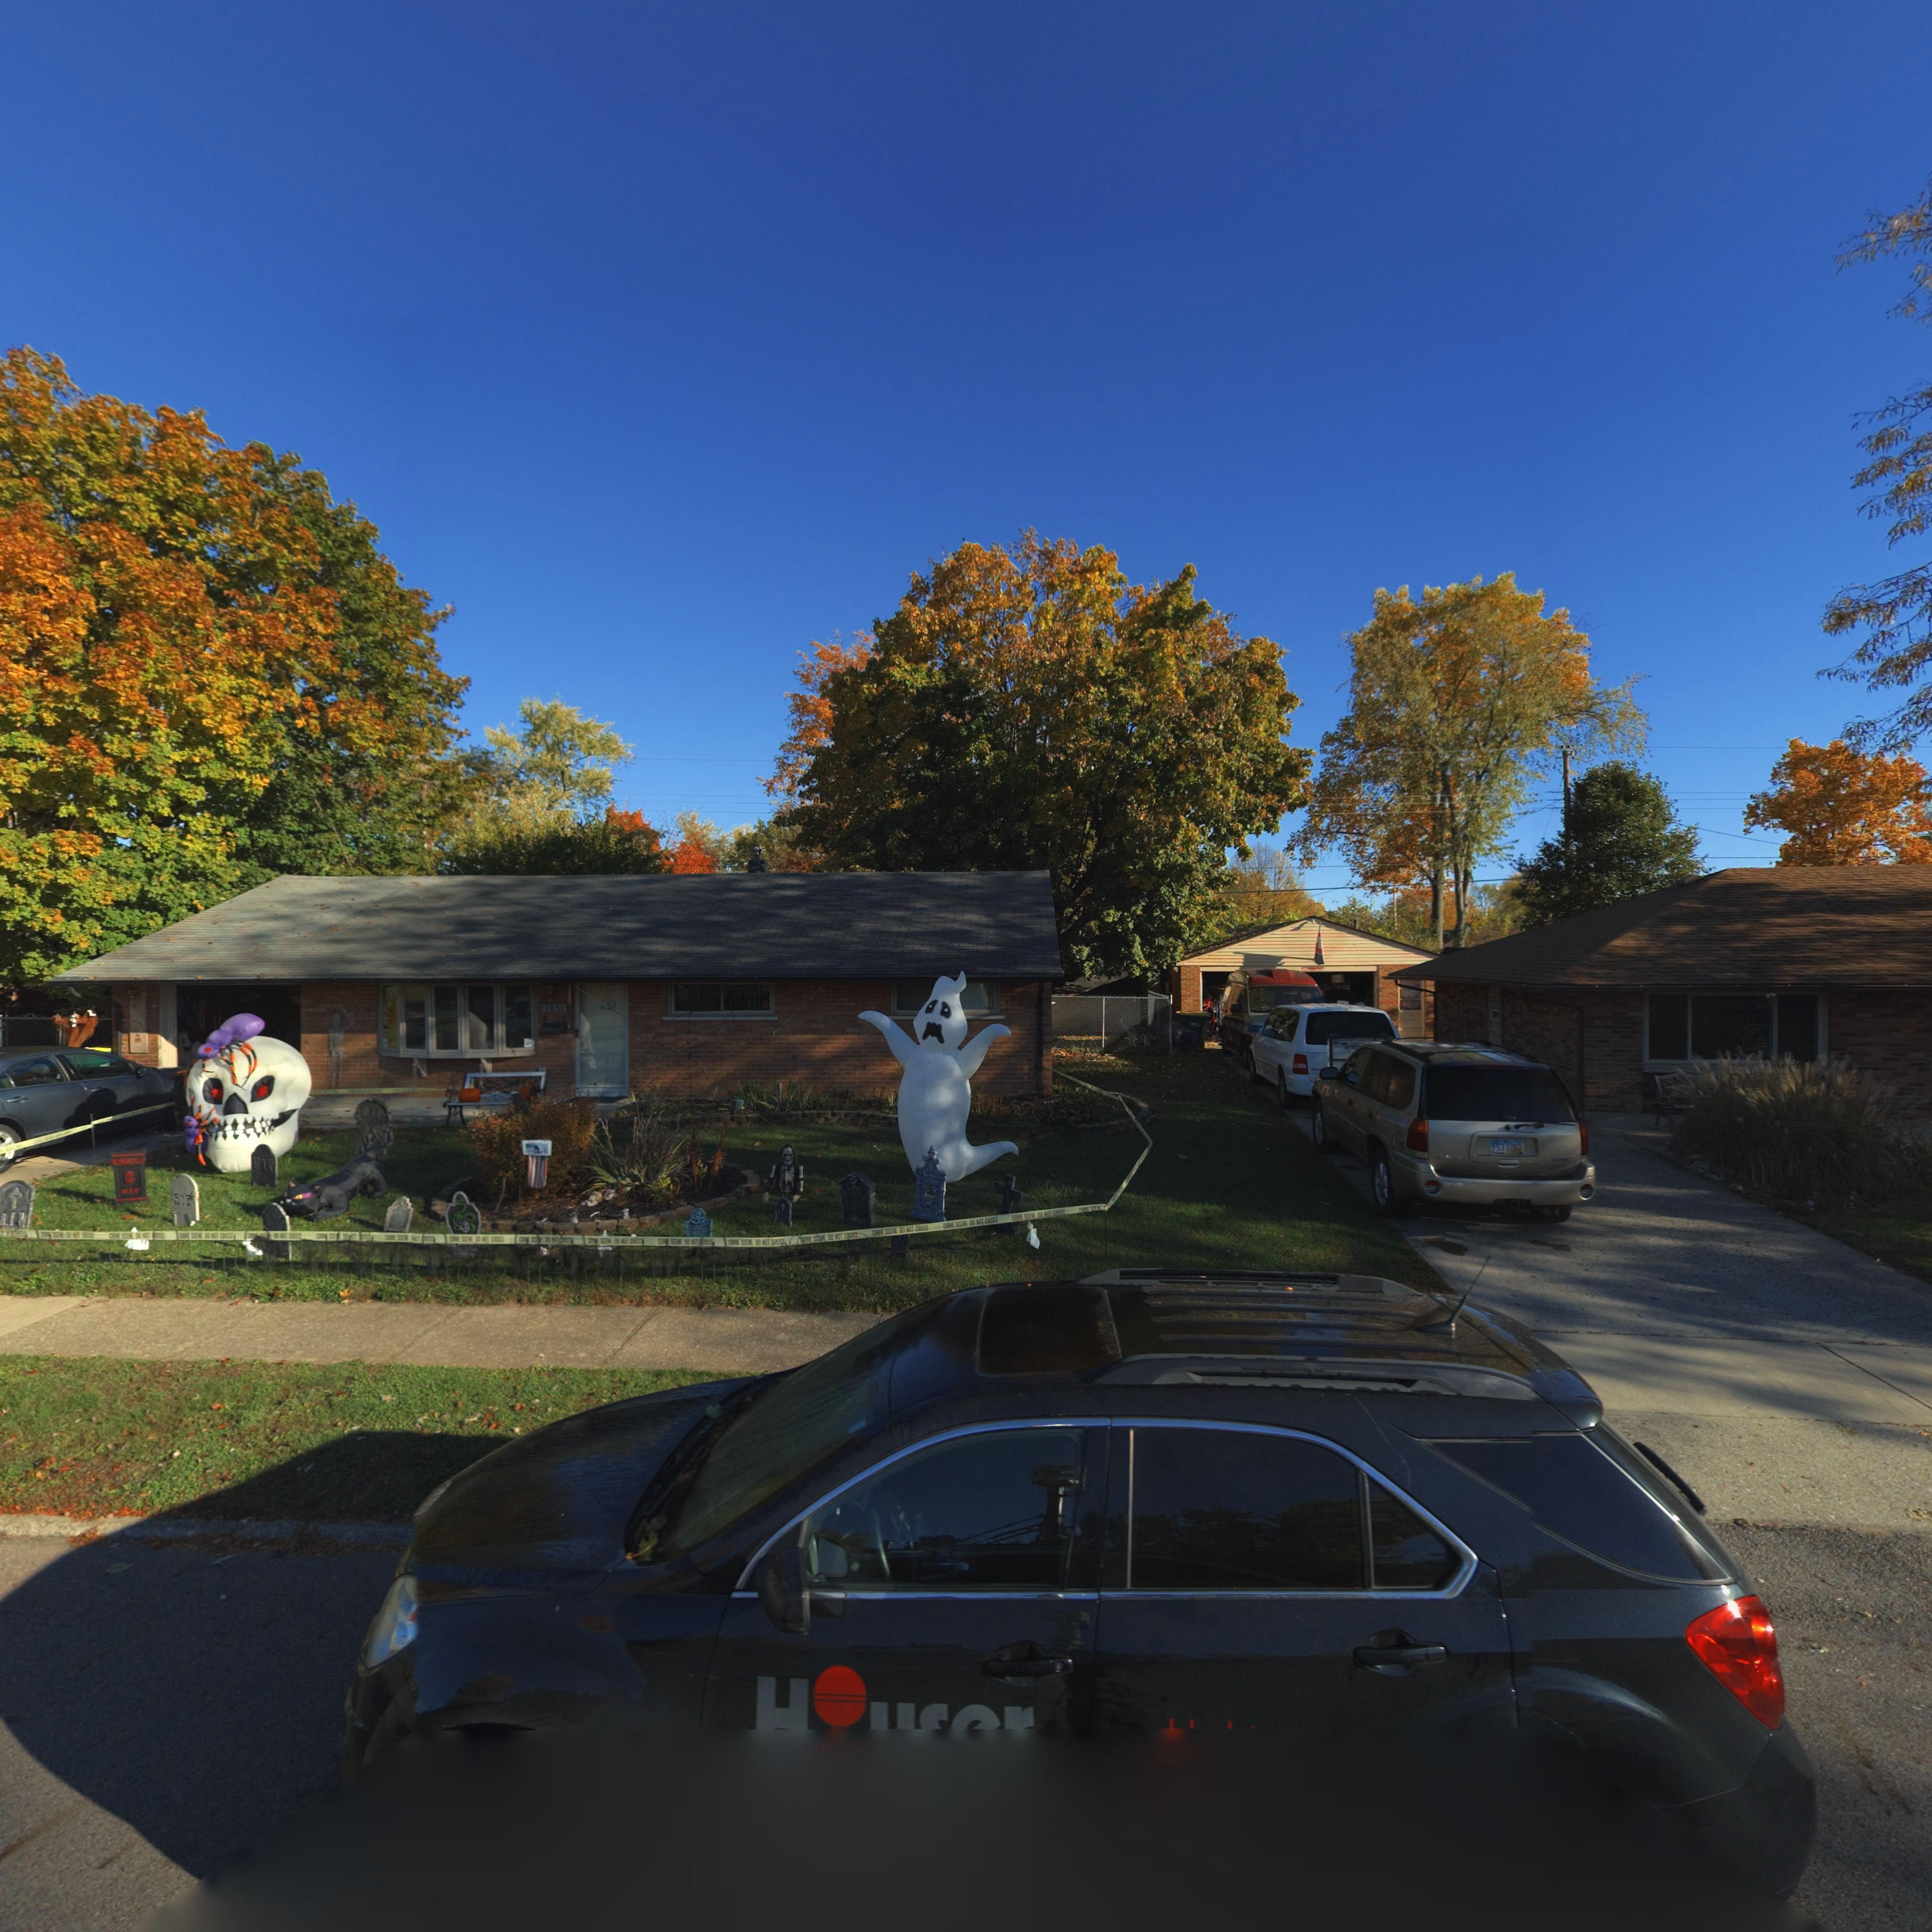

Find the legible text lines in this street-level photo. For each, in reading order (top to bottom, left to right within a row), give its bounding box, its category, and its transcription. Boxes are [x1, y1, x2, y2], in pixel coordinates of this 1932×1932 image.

[544, 1005, 565, 1013] StreetNumber: 2651